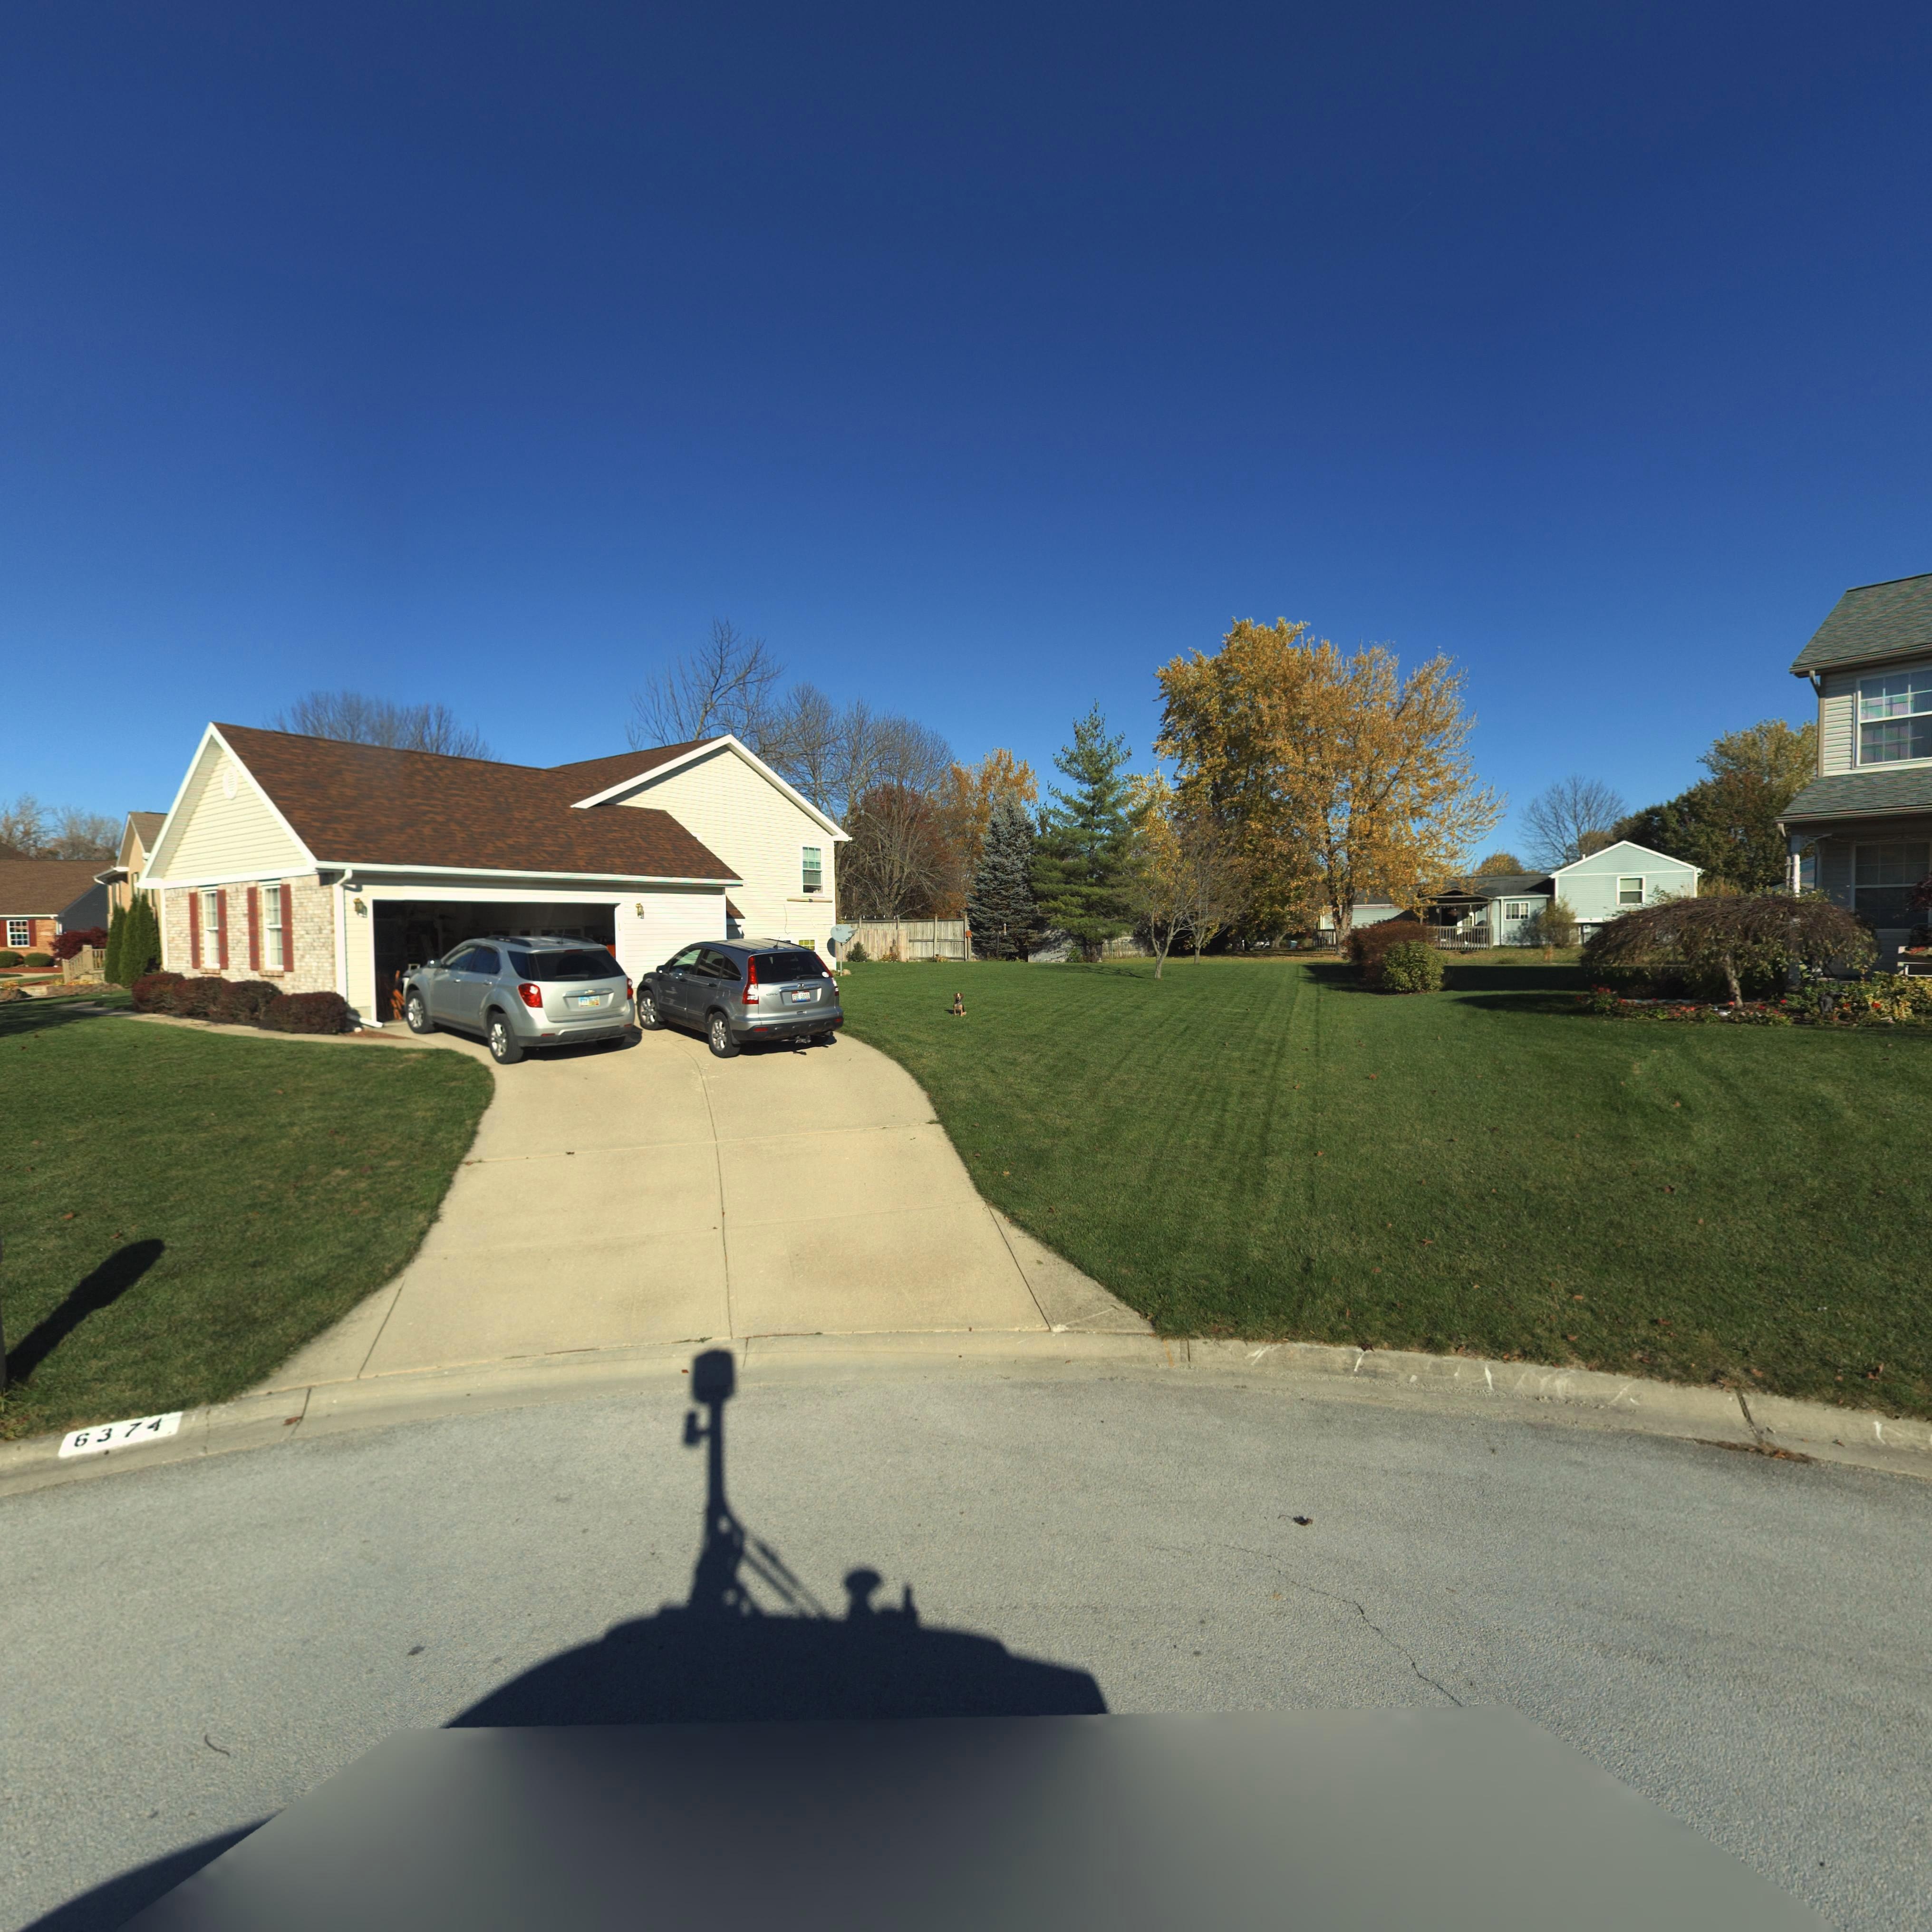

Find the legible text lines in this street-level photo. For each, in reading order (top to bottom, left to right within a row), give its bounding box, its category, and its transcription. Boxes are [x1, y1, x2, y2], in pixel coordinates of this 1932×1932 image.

[73, 1416, 164, 1448] StreetNumber: 6374